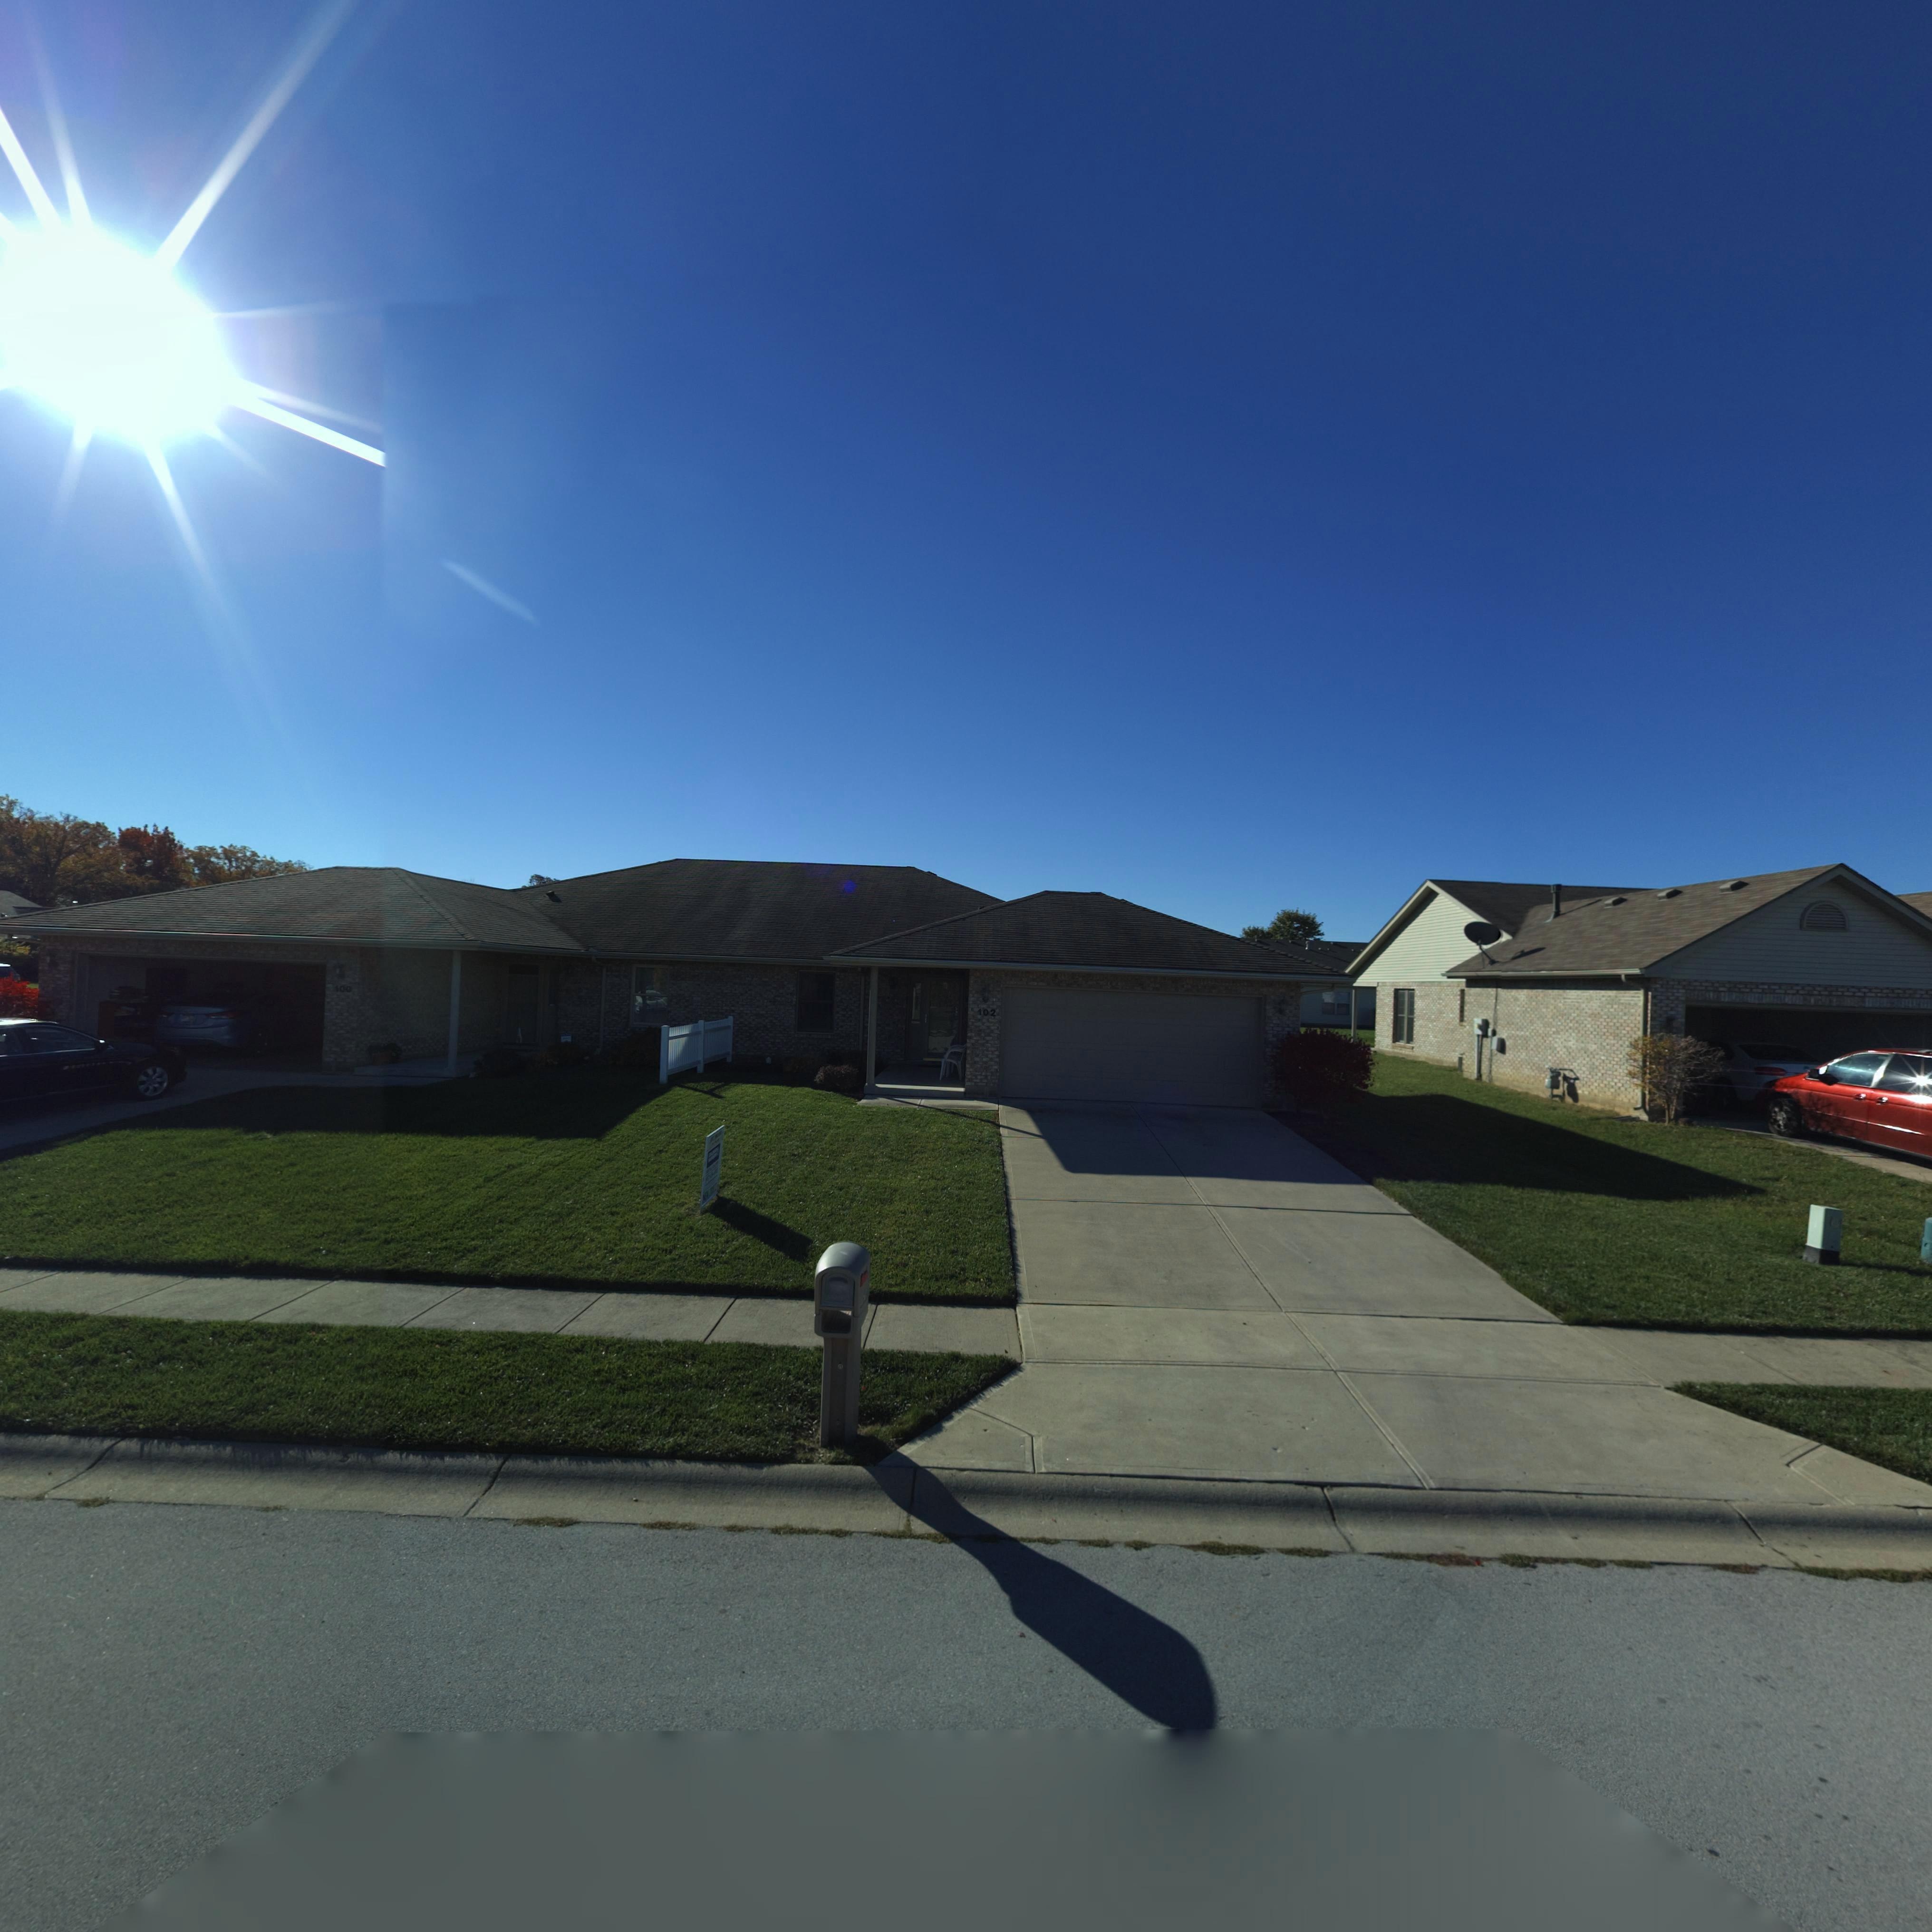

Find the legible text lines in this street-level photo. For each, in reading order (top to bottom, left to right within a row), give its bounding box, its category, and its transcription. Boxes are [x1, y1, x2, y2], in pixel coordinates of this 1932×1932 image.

[334, 984, 352, 994] StreetNumber: 100
[977, 1007, 997, 1017] StreetNumber: 102